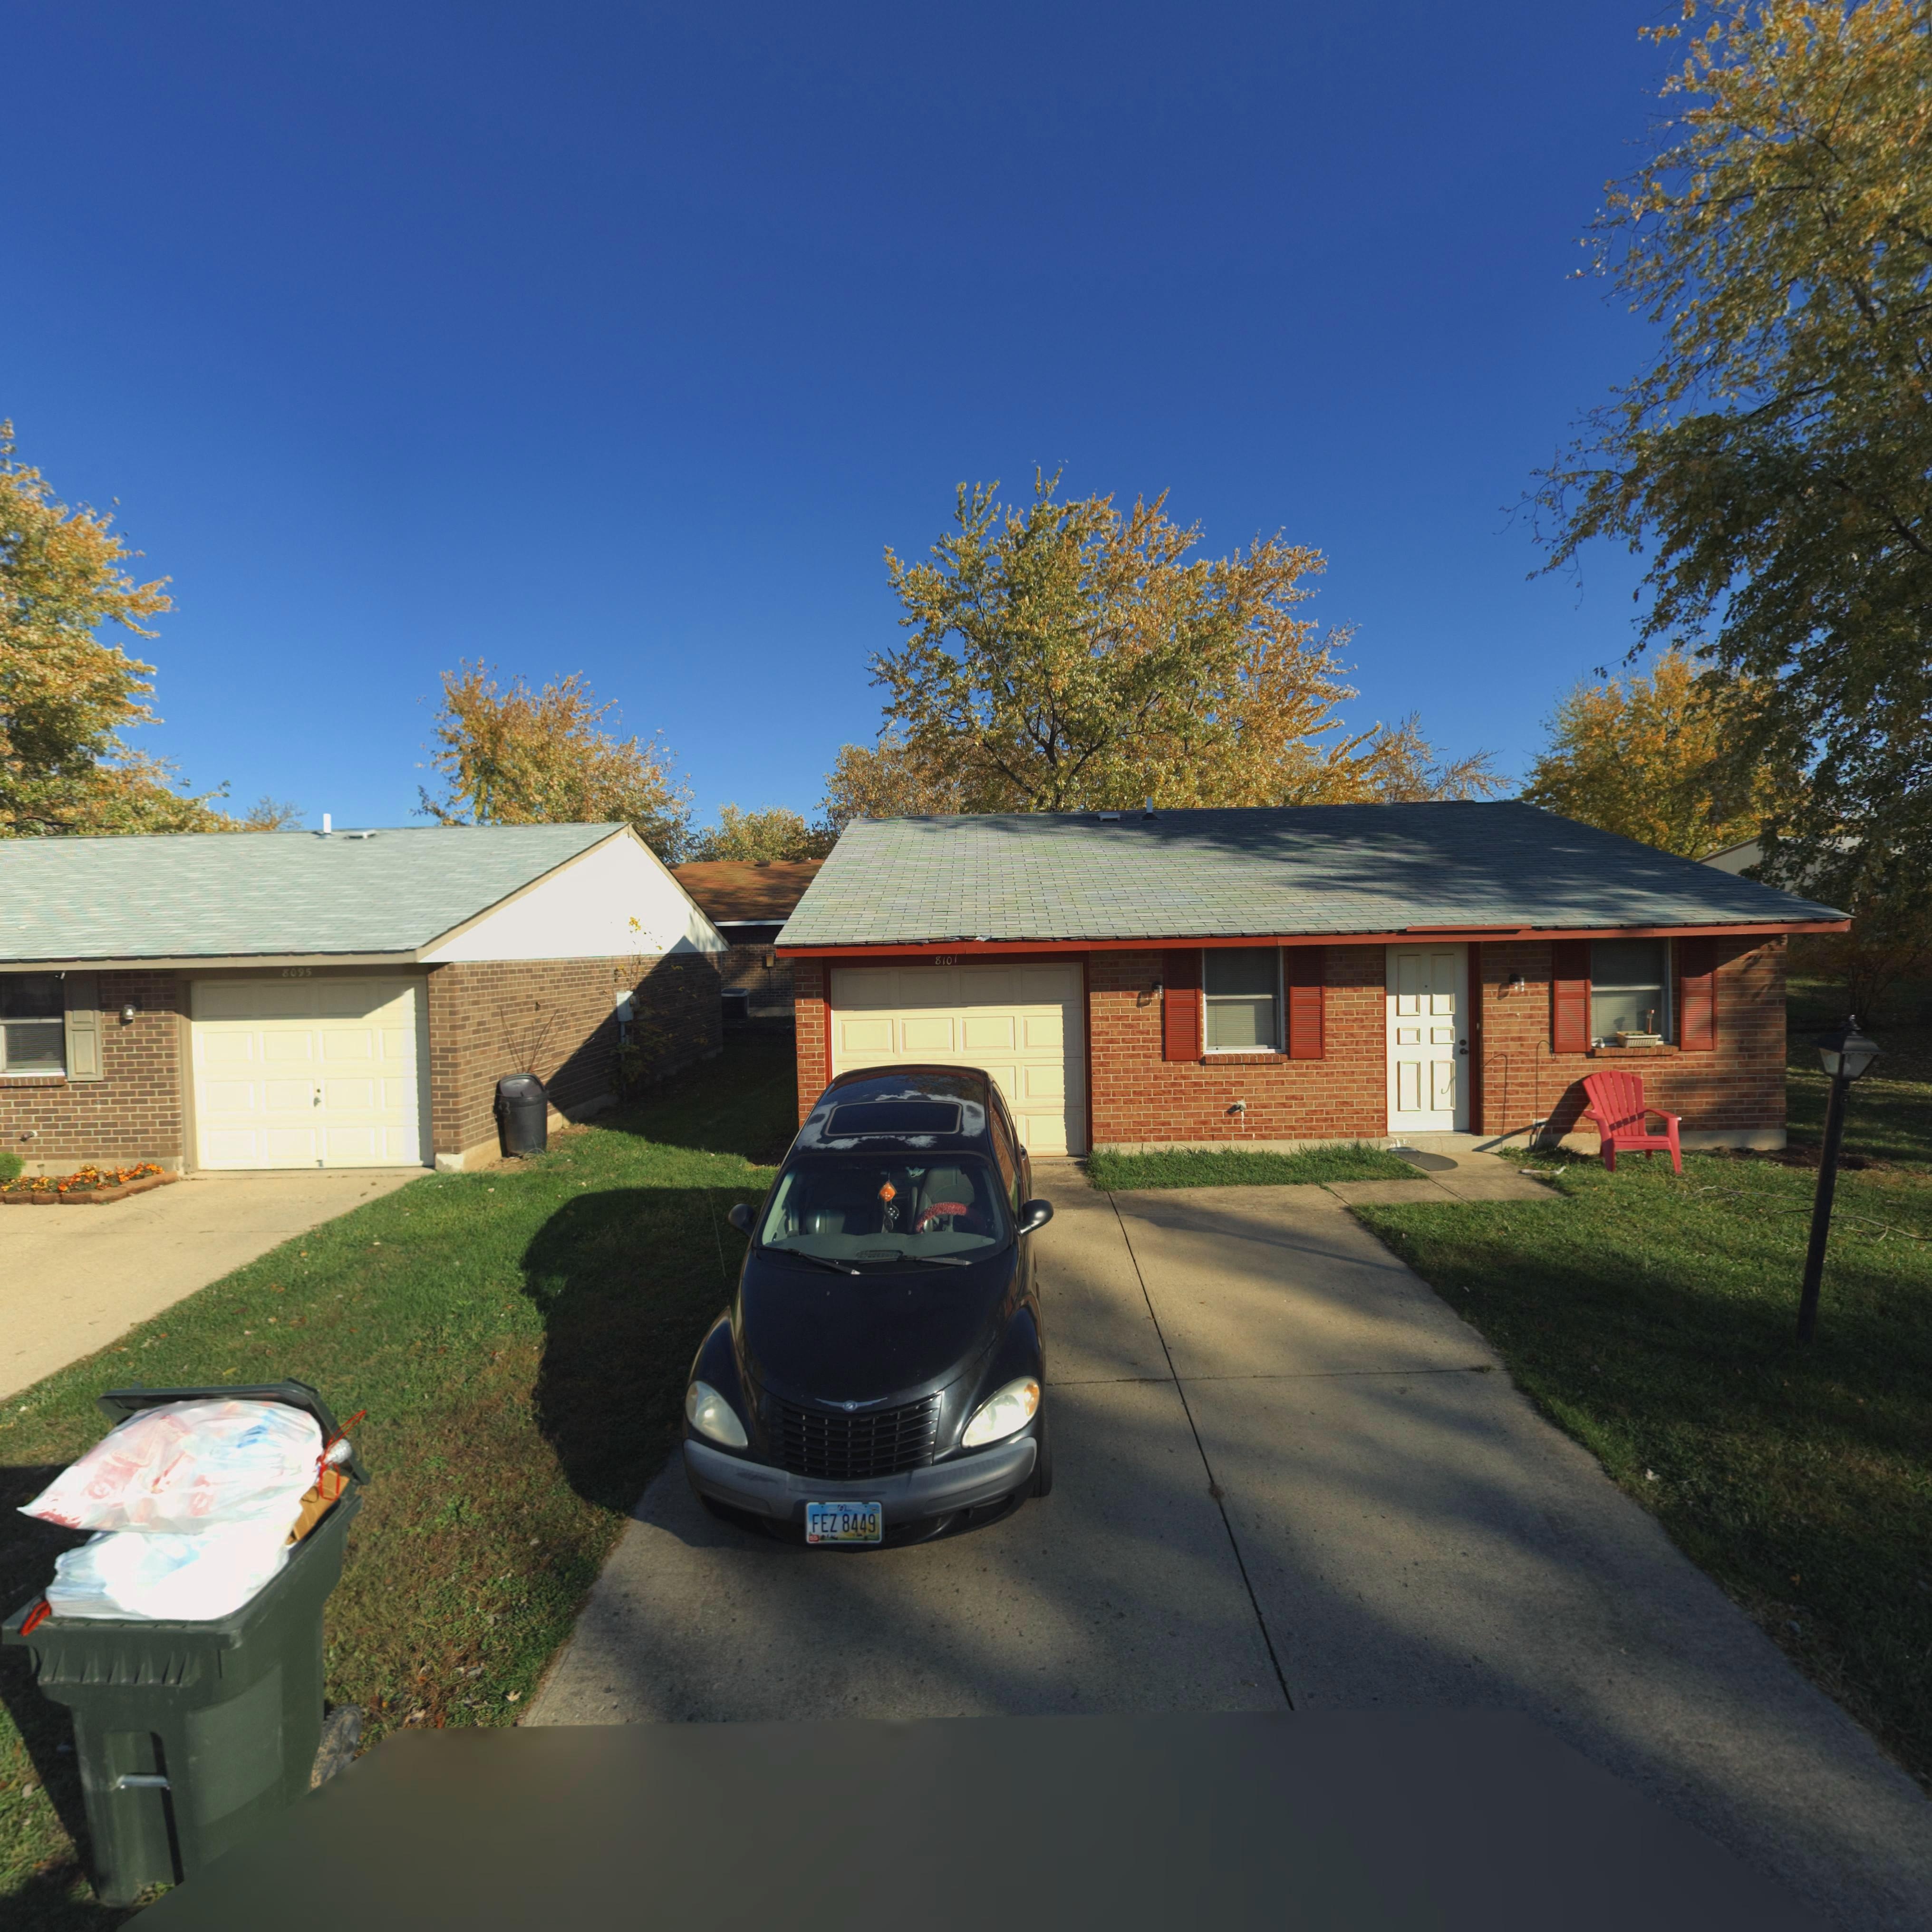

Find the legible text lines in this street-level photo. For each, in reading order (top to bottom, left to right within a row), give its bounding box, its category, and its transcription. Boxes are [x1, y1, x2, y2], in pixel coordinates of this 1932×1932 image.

[934, 954, 958, 966] StreetNumber: 8101
[280, 966, 313, 979] StreetNumber: 8095